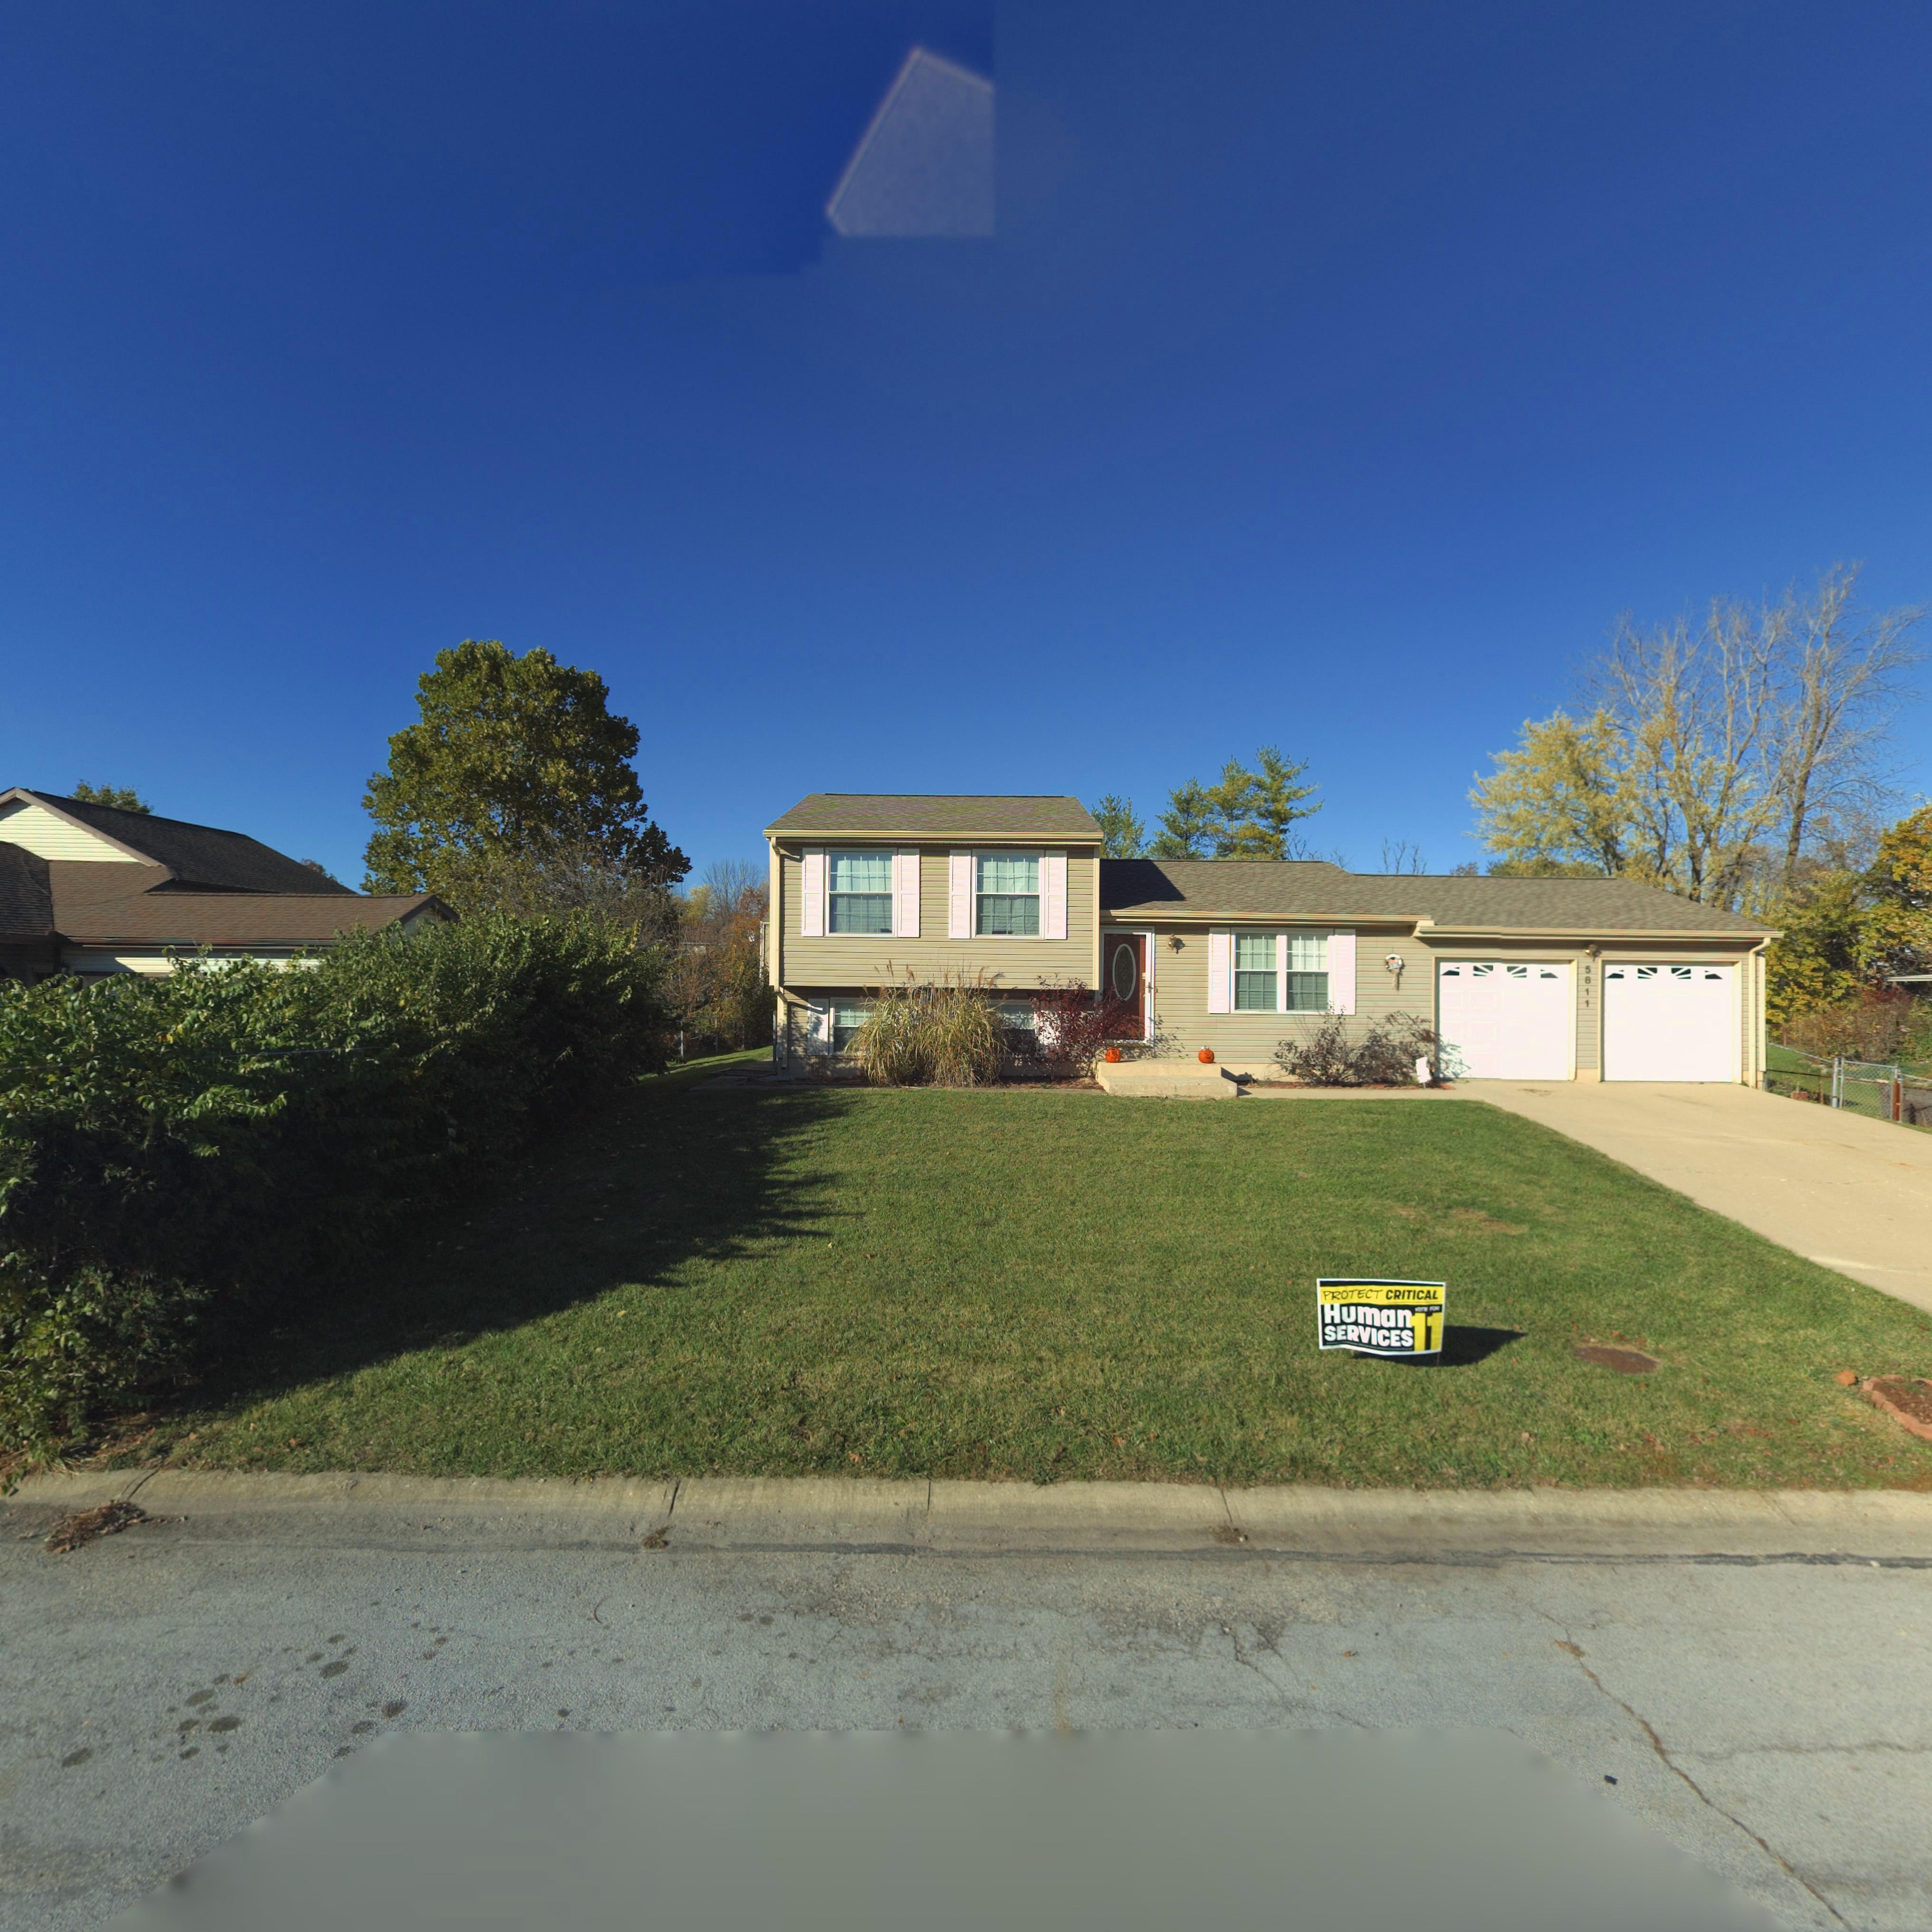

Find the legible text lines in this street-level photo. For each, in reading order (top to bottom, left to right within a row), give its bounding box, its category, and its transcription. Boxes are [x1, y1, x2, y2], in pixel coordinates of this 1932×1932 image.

[1583, 964, 1592, 1008] StreetNumber: 5811